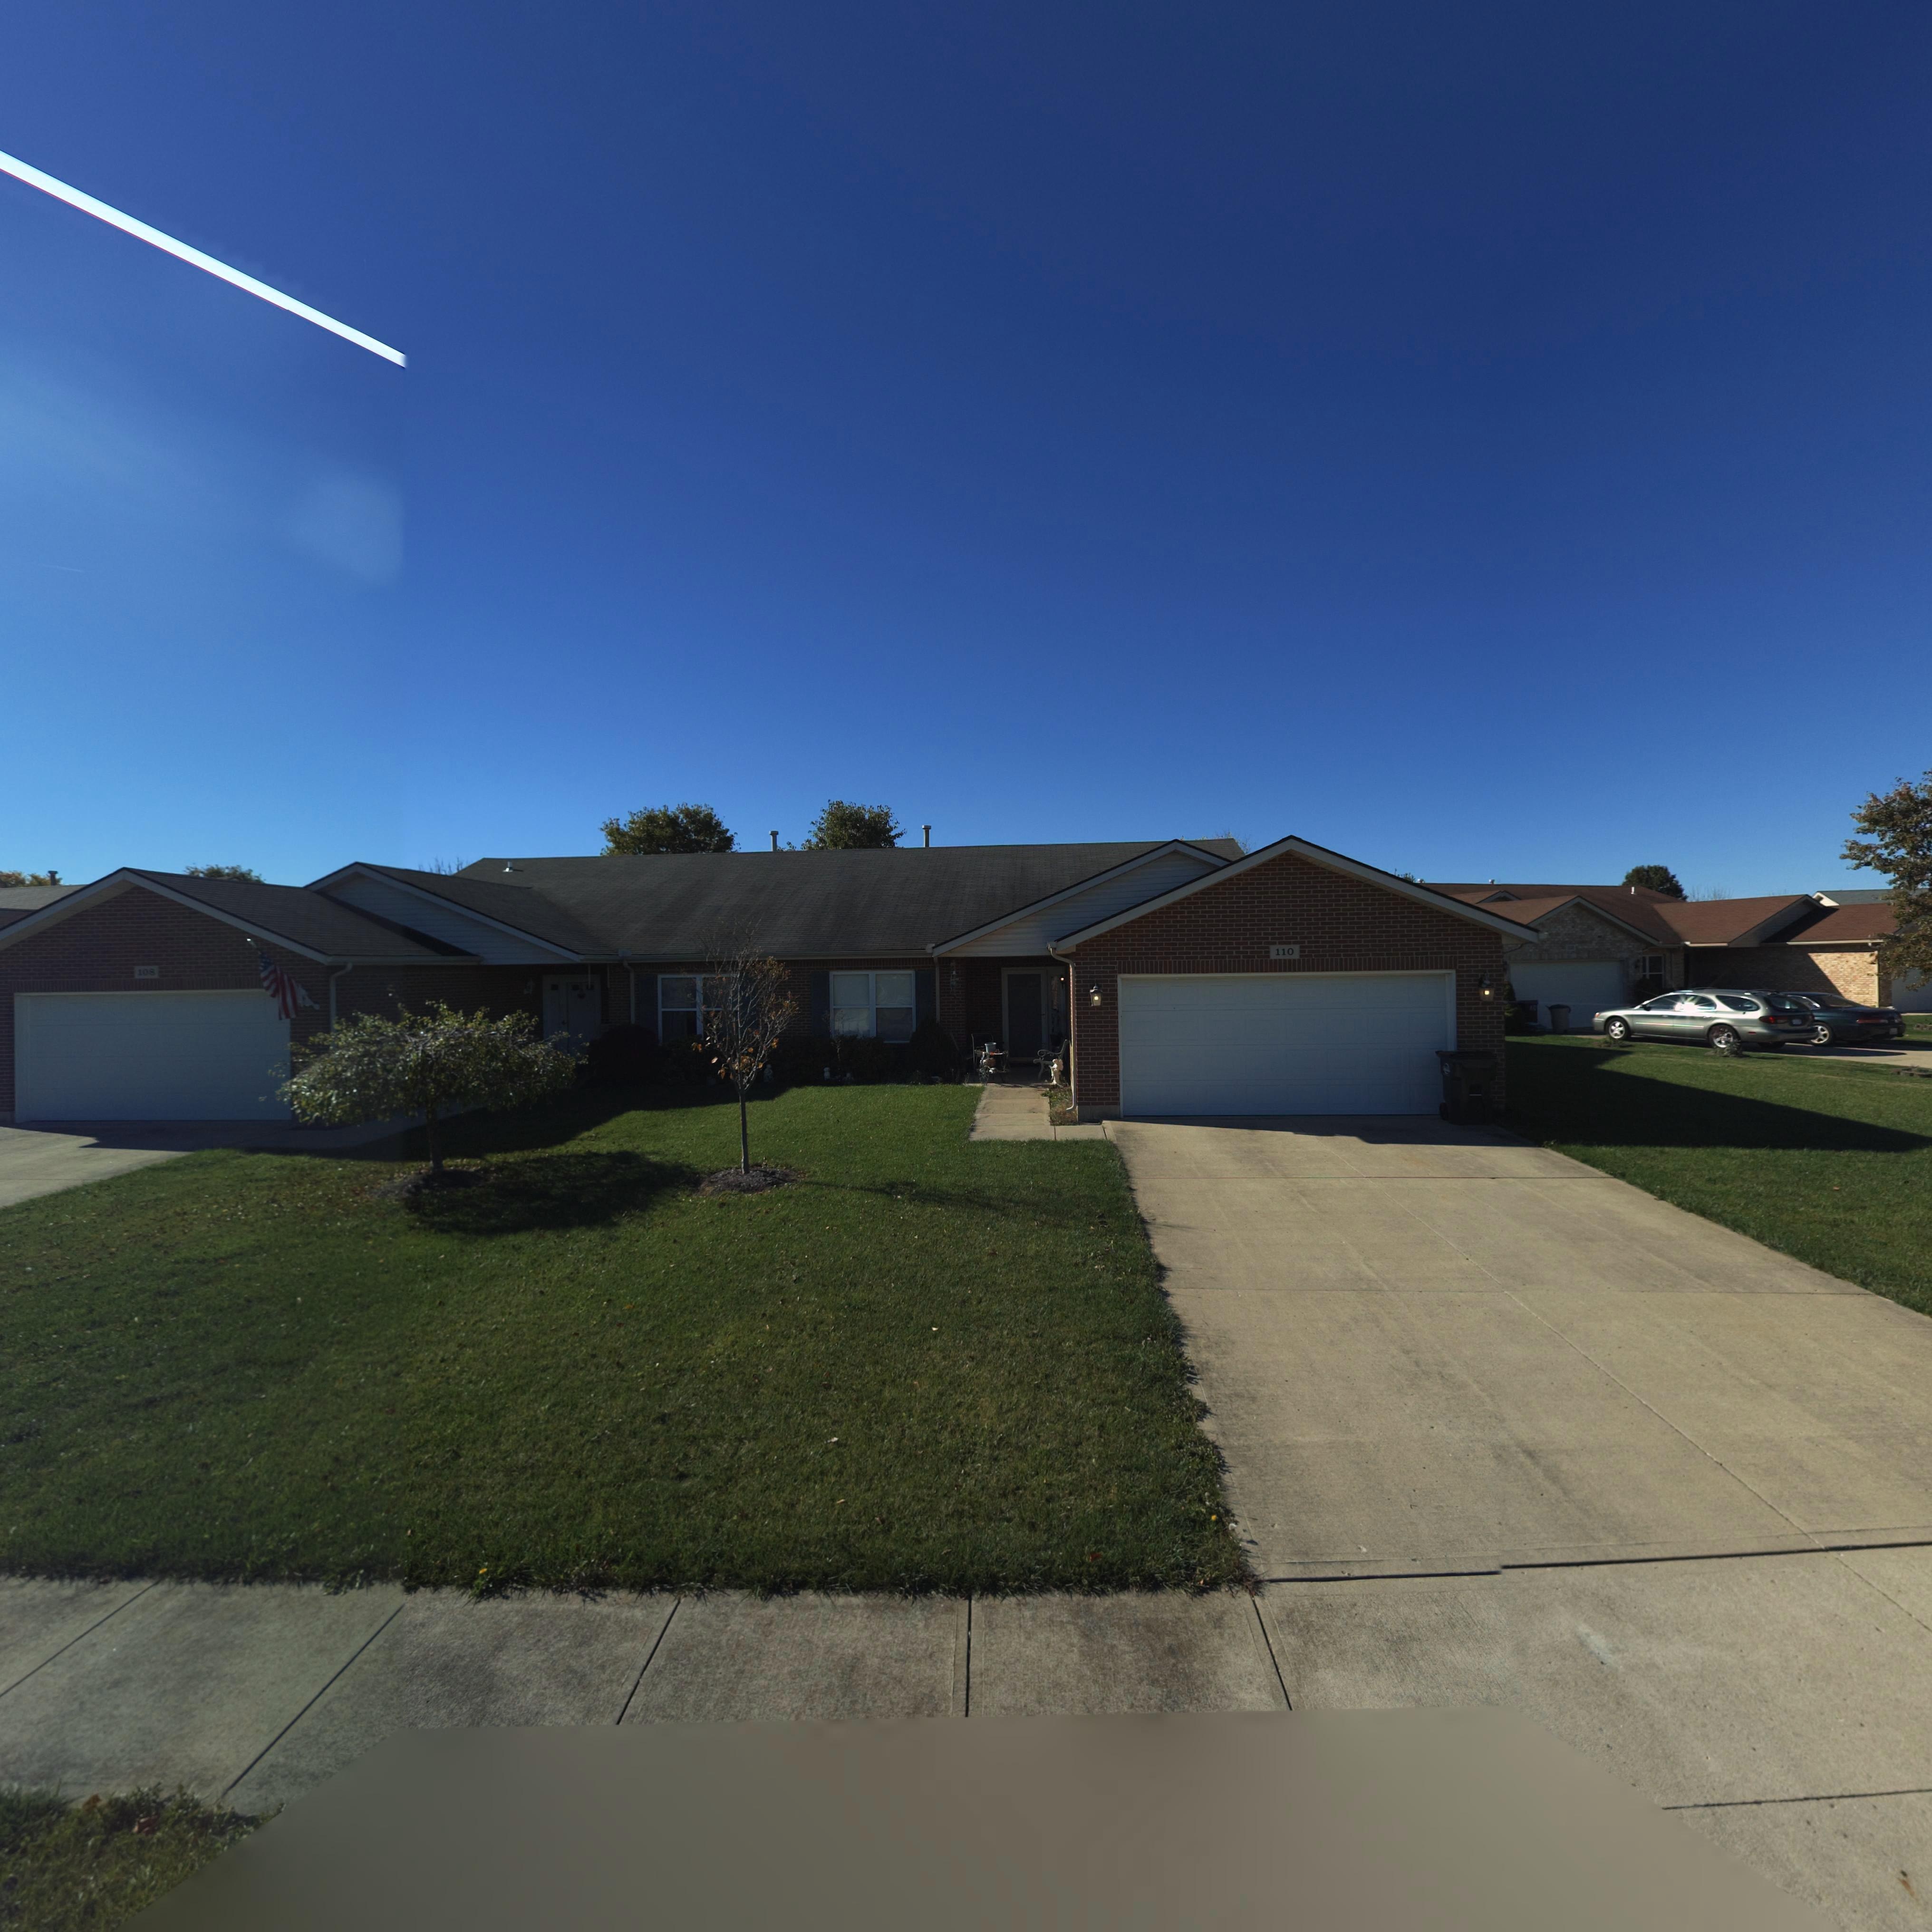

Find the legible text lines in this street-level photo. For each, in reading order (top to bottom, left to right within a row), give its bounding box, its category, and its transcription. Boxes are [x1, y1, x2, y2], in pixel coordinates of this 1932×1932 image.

[1275, 947, 1294, 956] StreetNumber: 110
[137, 968, 155, 976] StreetNumber: 108